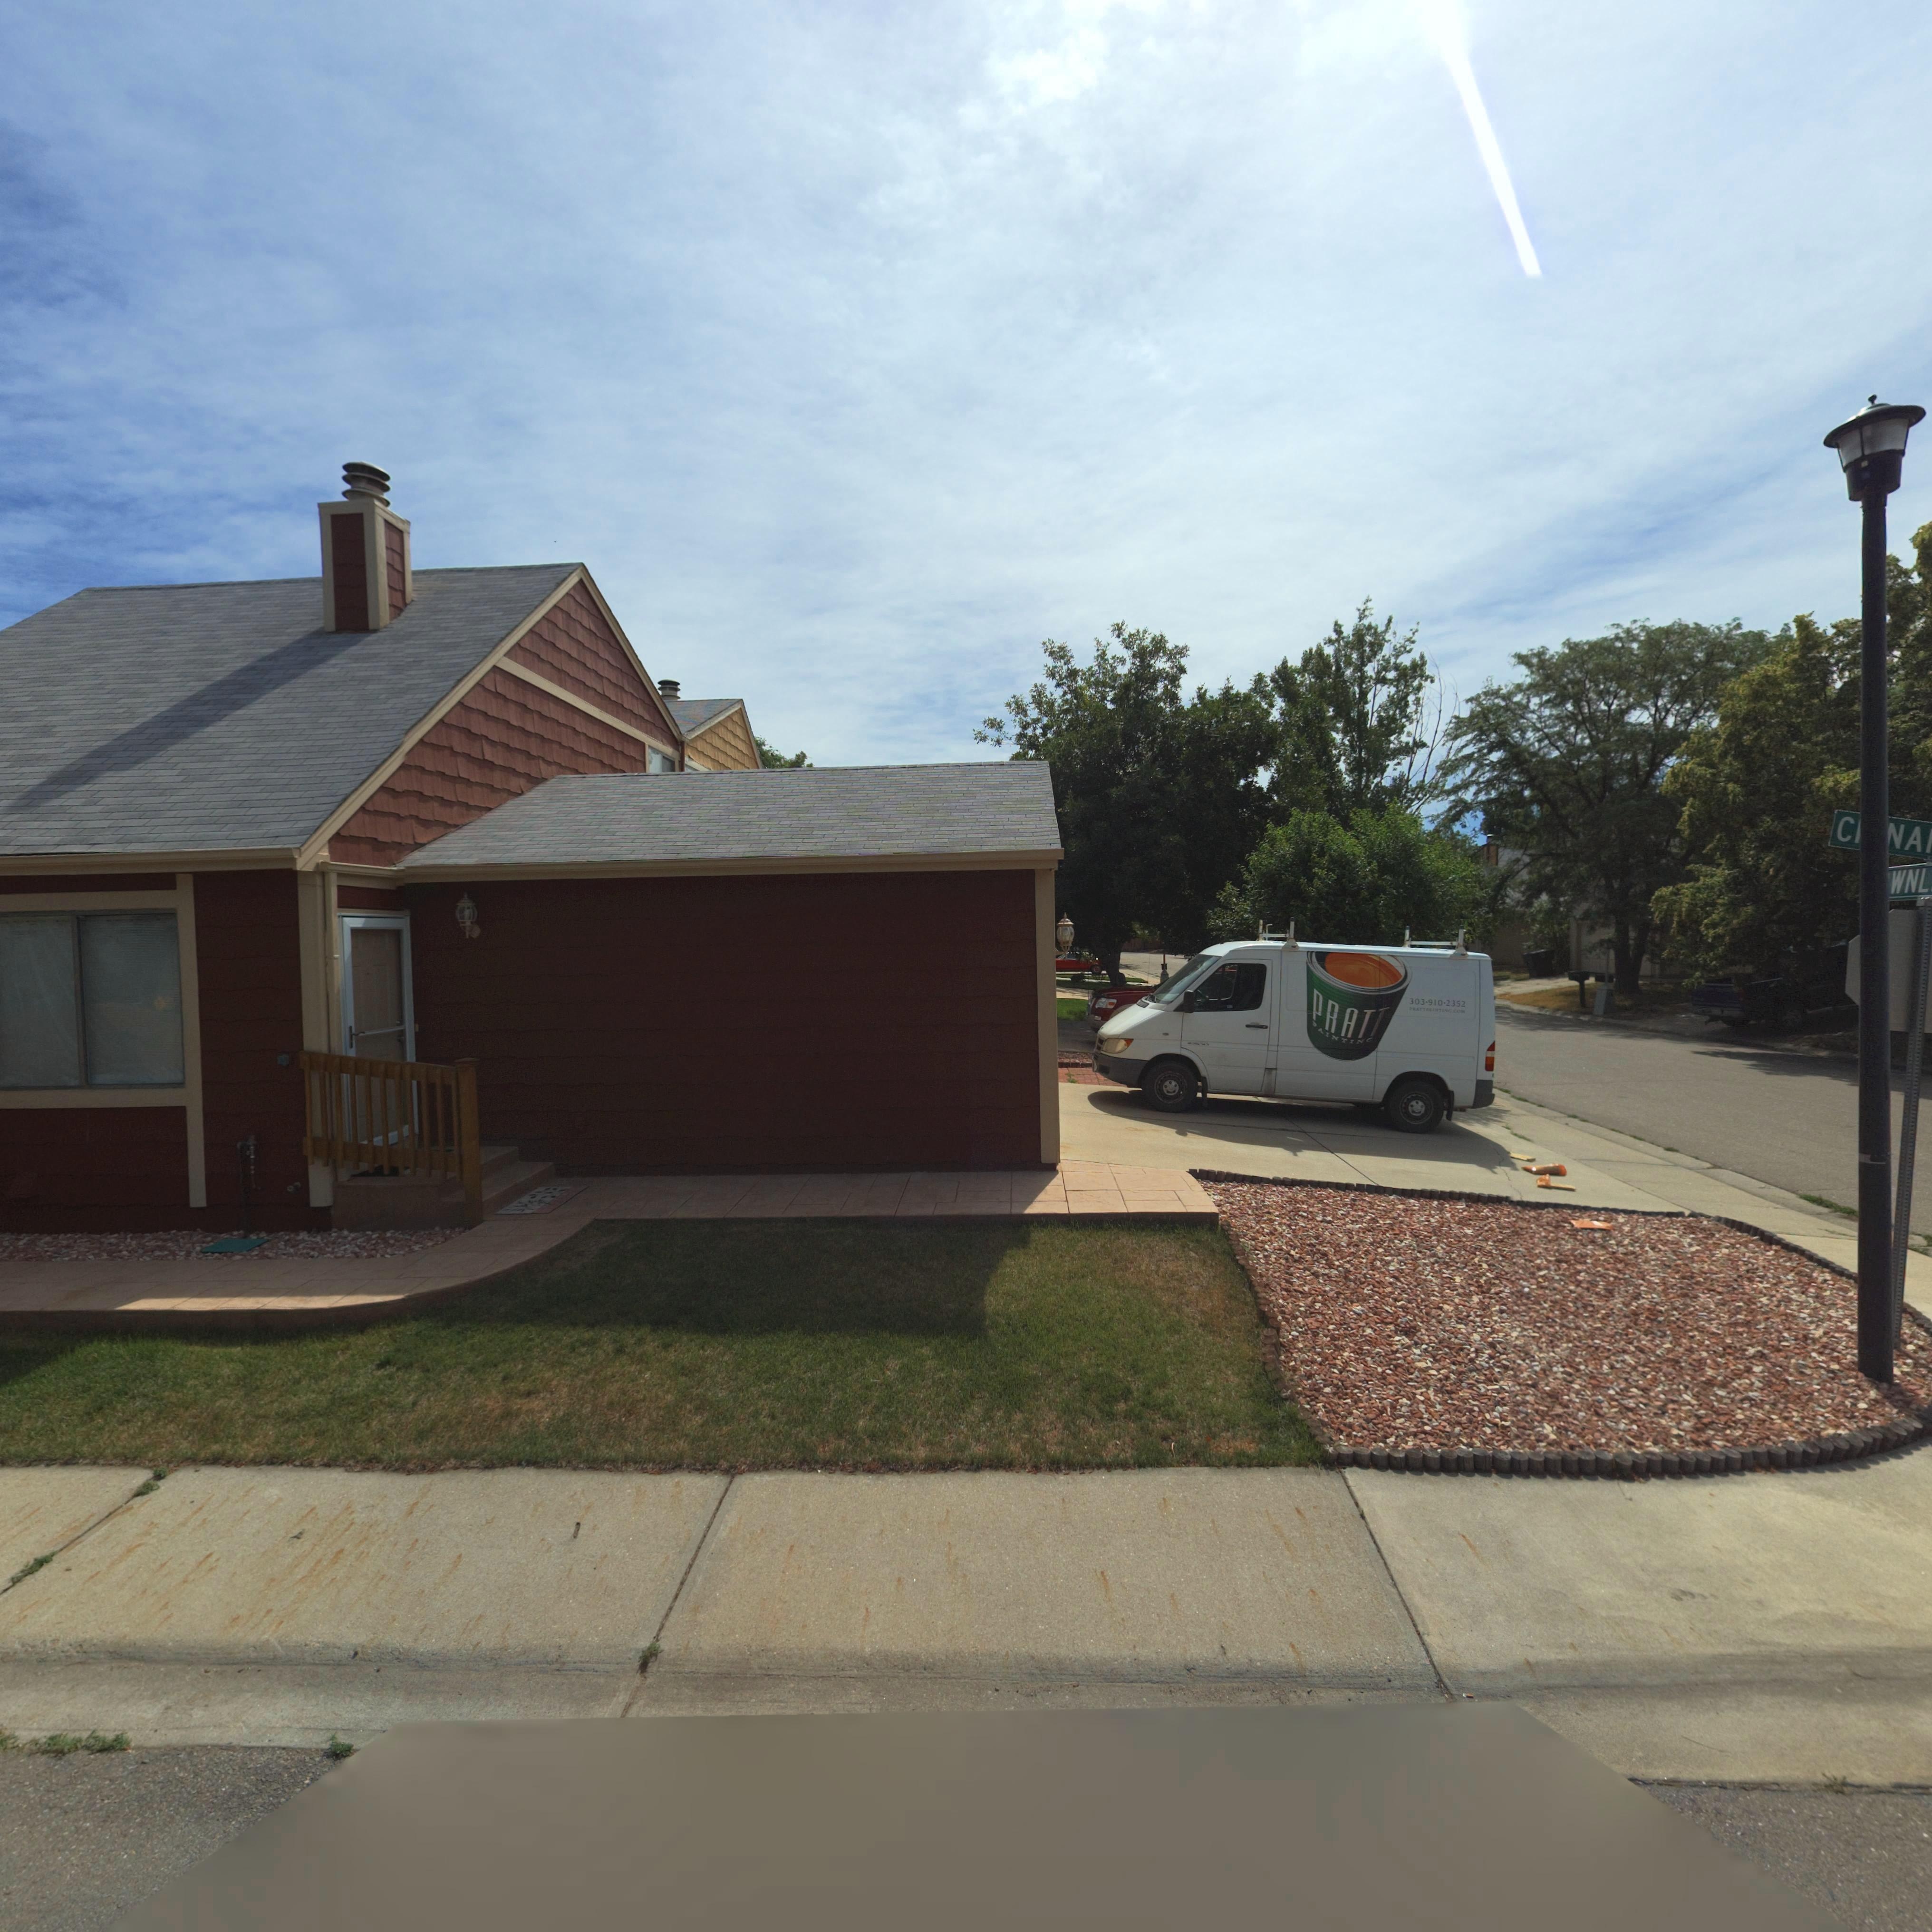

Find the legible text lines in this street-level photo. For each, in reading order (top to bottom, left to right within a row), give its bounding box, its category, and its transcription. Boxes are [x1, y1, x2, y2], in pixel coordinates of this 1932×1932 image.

[1836, 815, 1922, 853] StreetName: C**NA
[1890, 867, 1929, 894] StreetName: WNL